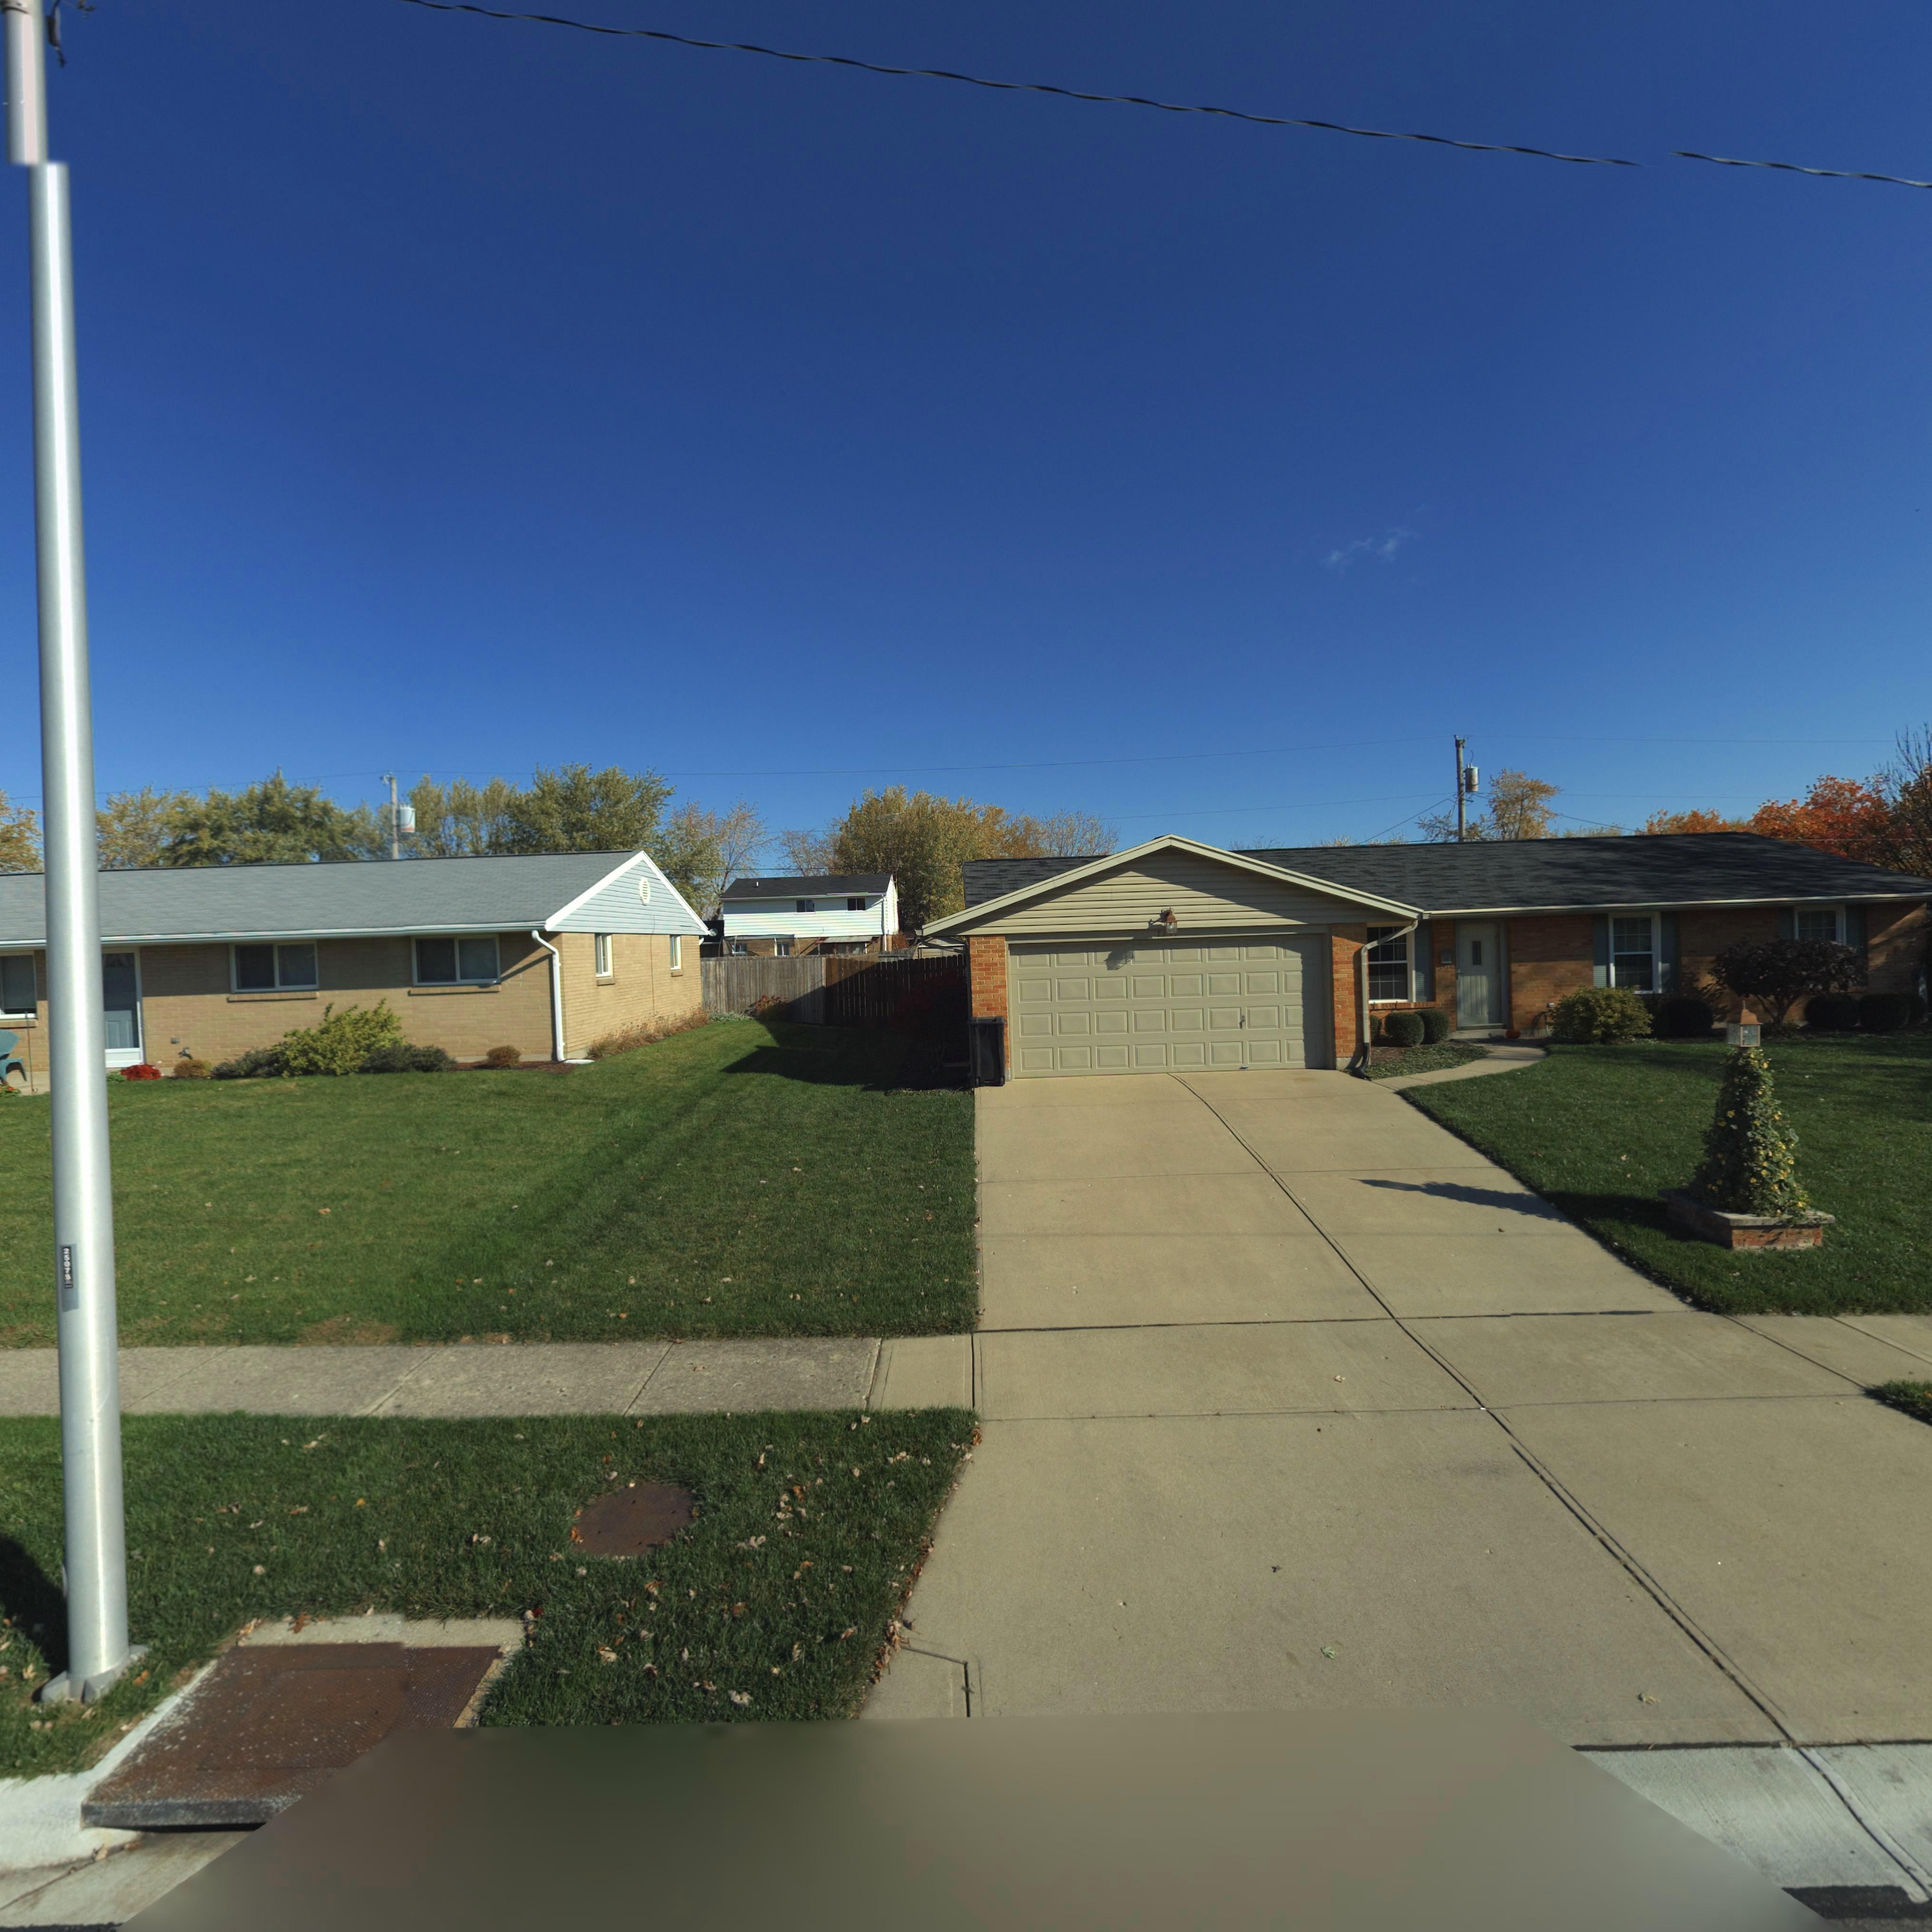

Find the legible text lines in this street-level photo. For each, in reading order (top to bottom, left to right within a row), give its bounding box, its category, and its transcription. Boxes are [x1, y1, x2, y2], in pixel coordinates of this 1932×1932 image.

[1156, 929, 1162, 937] StreetNumber: 7